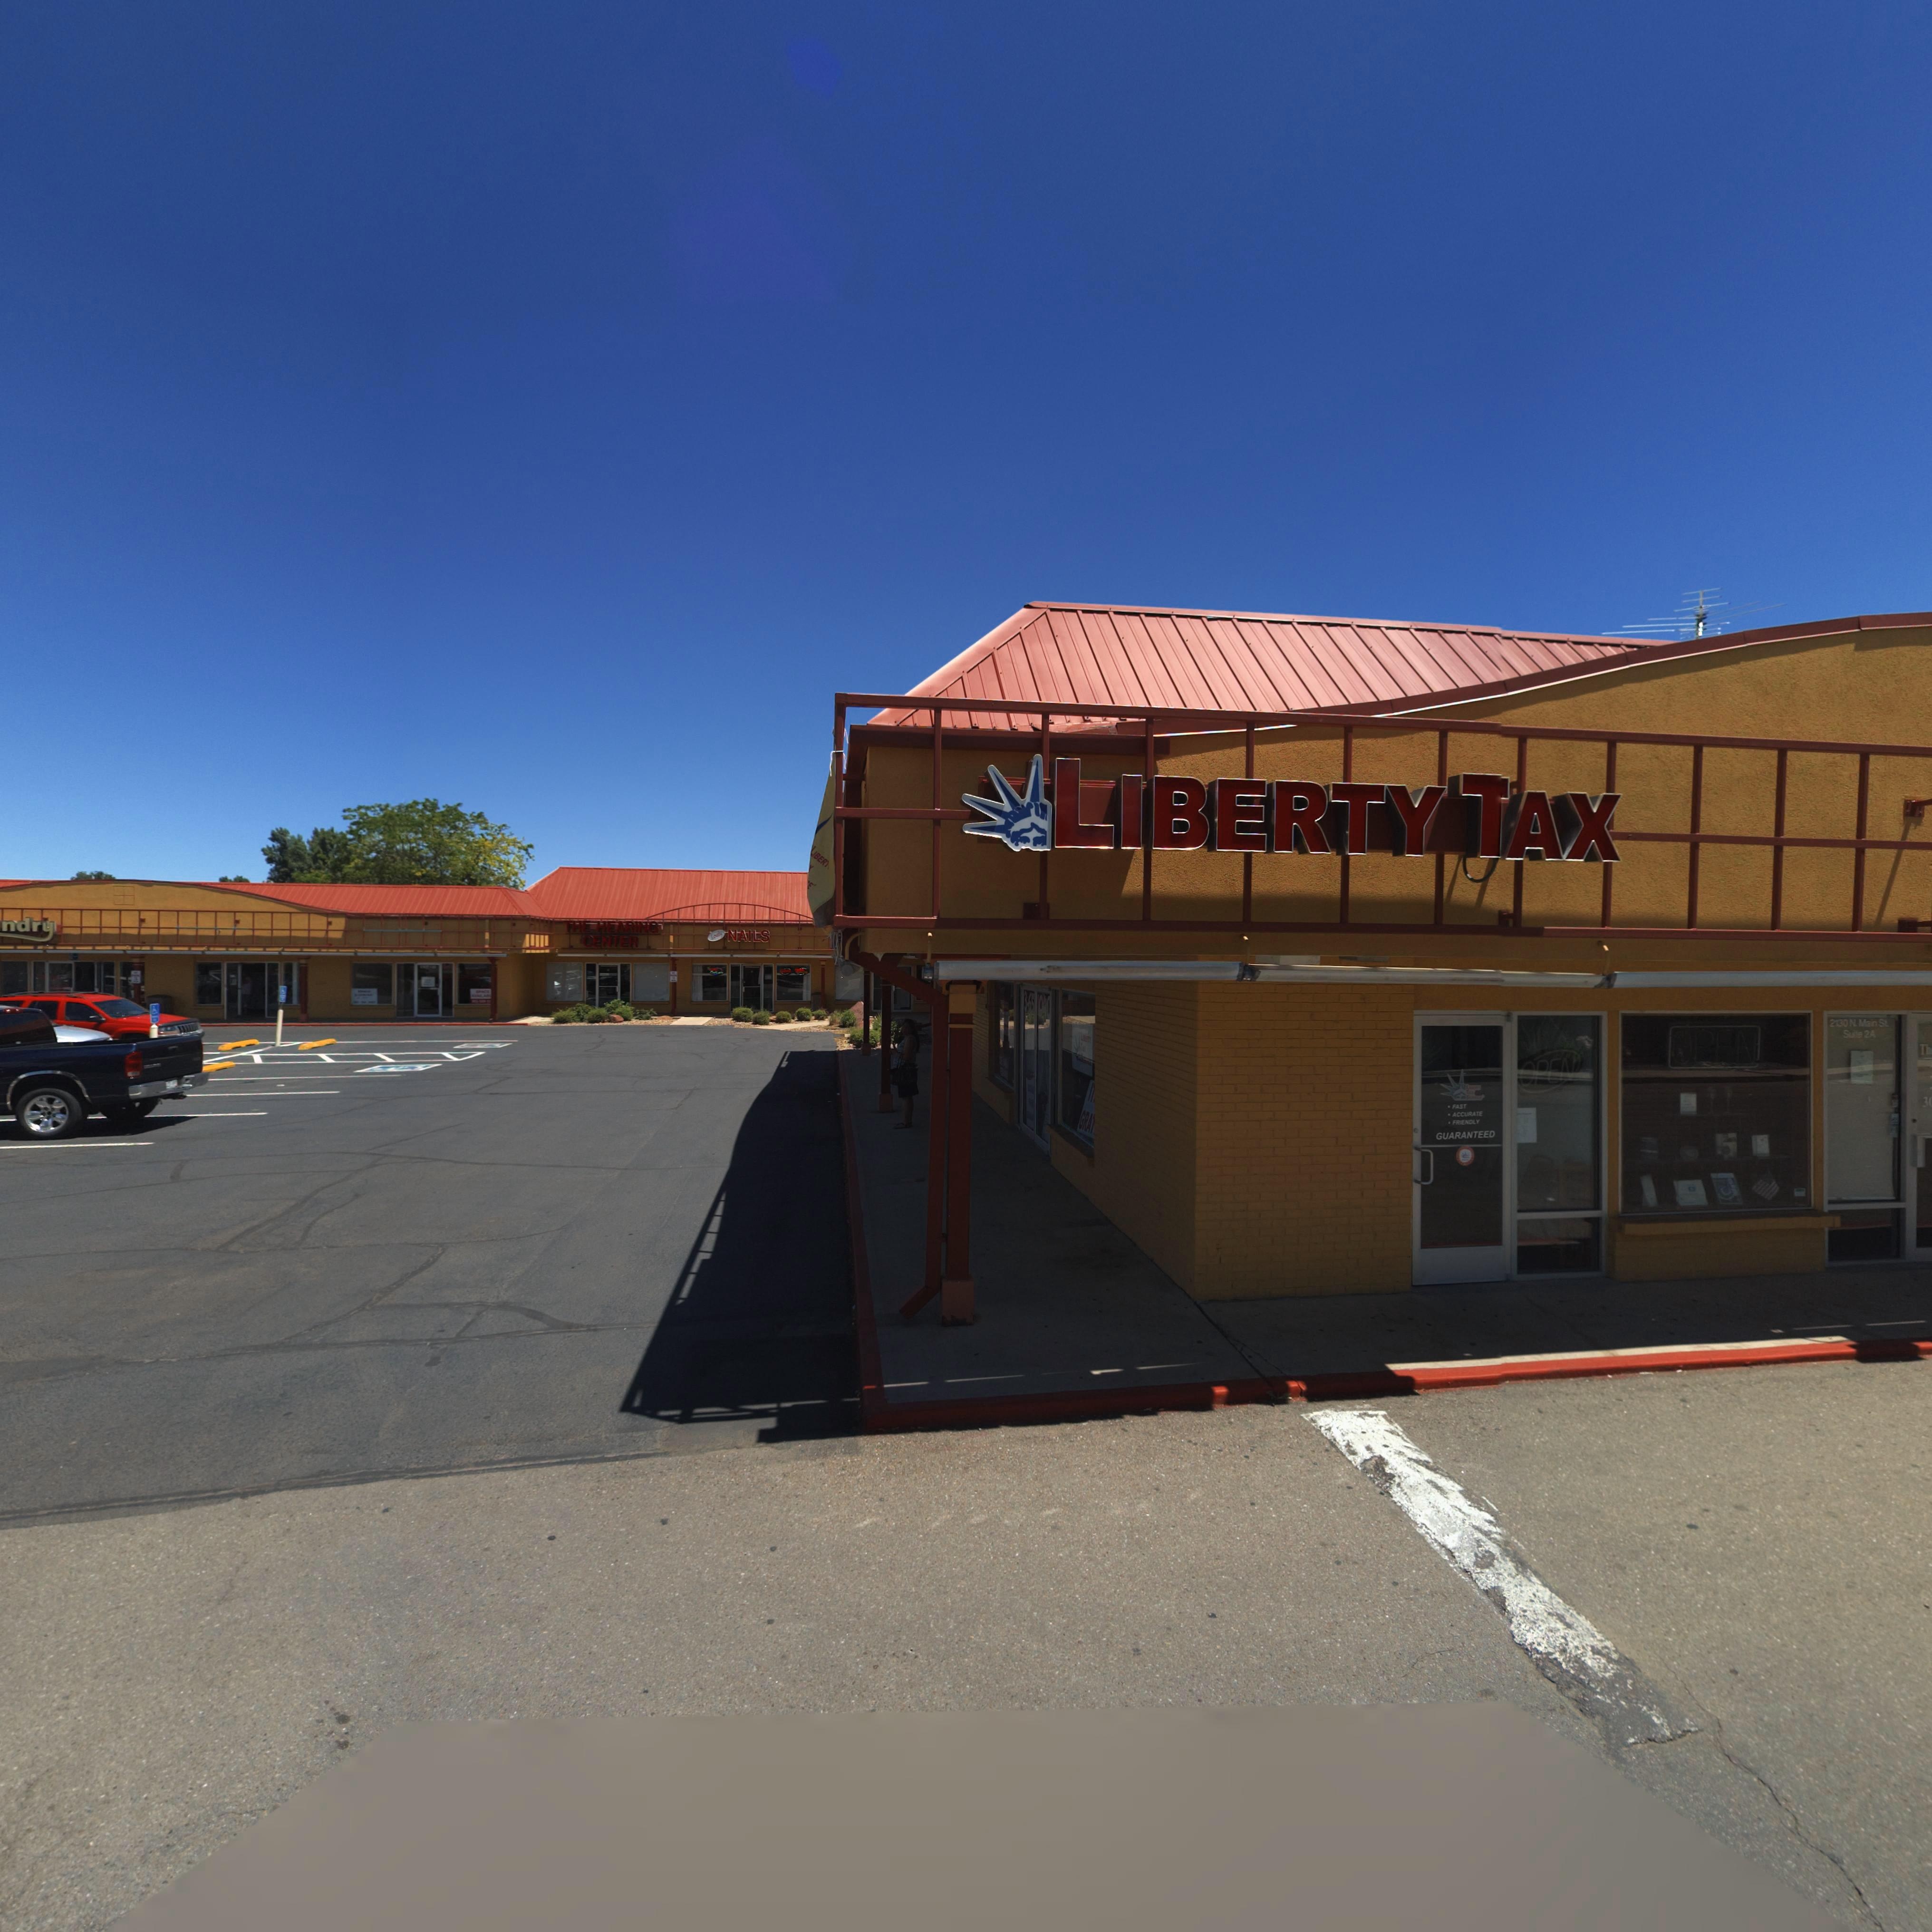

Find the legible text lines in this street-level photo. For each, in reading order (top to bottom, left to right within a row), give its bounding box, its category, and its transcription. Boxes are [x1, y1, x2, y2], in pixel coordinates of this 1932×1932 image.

[1054, 757, 1622, 862] BusinessName: LIBERTY TAX
[564, 920, 660, 934] BusinessName: THE HEARING
[710, 930, 722, 940] BusinessName: L****y
[727, 928, 772, 942] BusinessName: NAILS
[581, 934, 639, 949] BusinessName: CENTER
[1829, 1018, 1849, 1027] StreetNumber: 2130
[1849, 1018, 1889, 1027] StreetName: N. Main St.
[1080, 1030, 1091, 1043] BusinessName: LIBERTY
[1843, 1029, 1877, 1039] SecondaryUnitDesignator: Suite 2A
[1080, 1042, 1086, 1053] BusinessName: TAX
[1079, 1055, 1092, 1066] BusinessName: SERVICE
[1466, 1090, 1475, 1094] BusinessName: TAX
[1466, 1084, 1481, 1090] BusinessName: LIBERTY
[1466, 1094, 1482, 1100] BusinessName: SERVICE